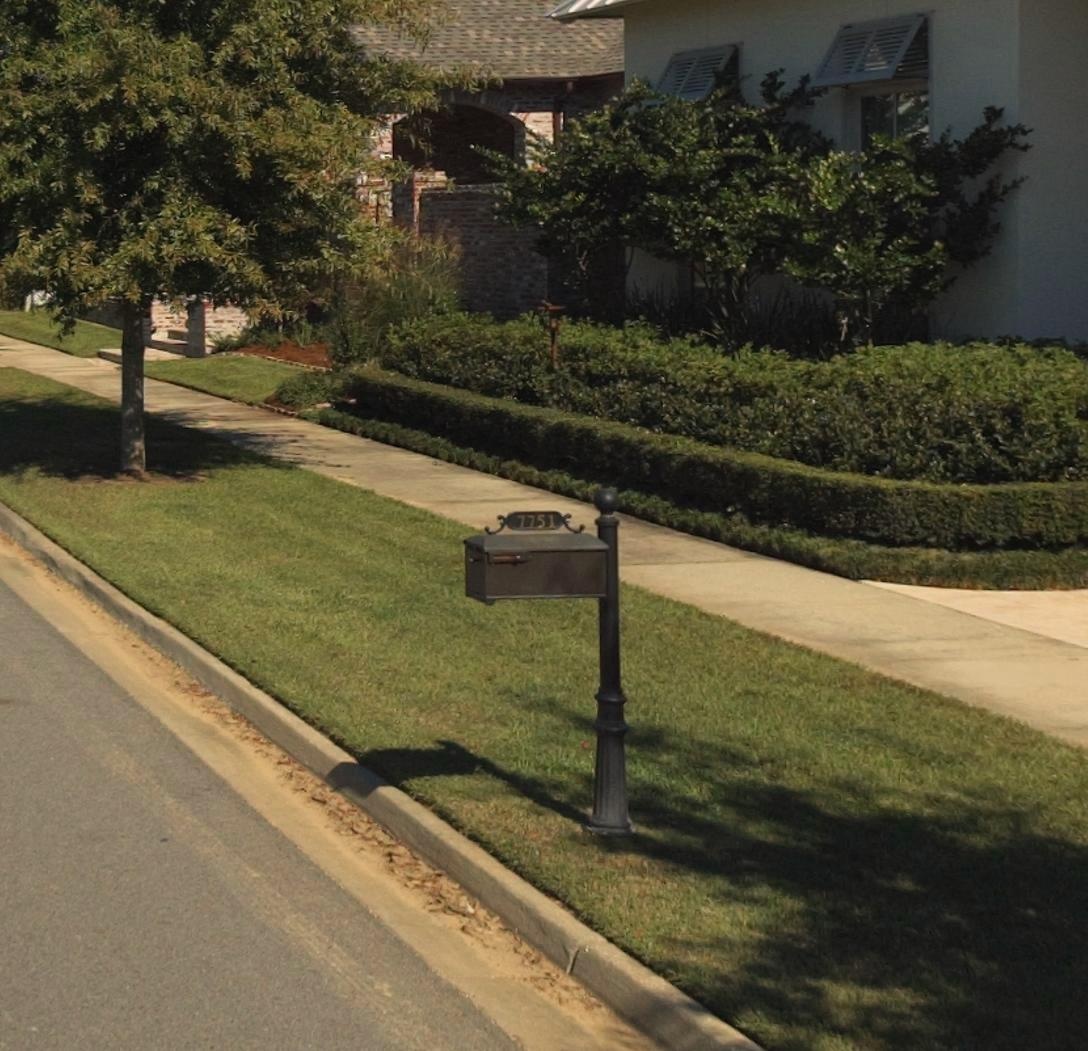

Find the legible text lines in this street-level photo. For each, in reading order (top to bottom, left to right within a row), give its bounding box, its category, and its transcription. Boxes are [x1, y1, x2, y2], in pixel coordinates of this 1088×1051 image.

[516, 514, 556, 528] StreetNumber: 7751